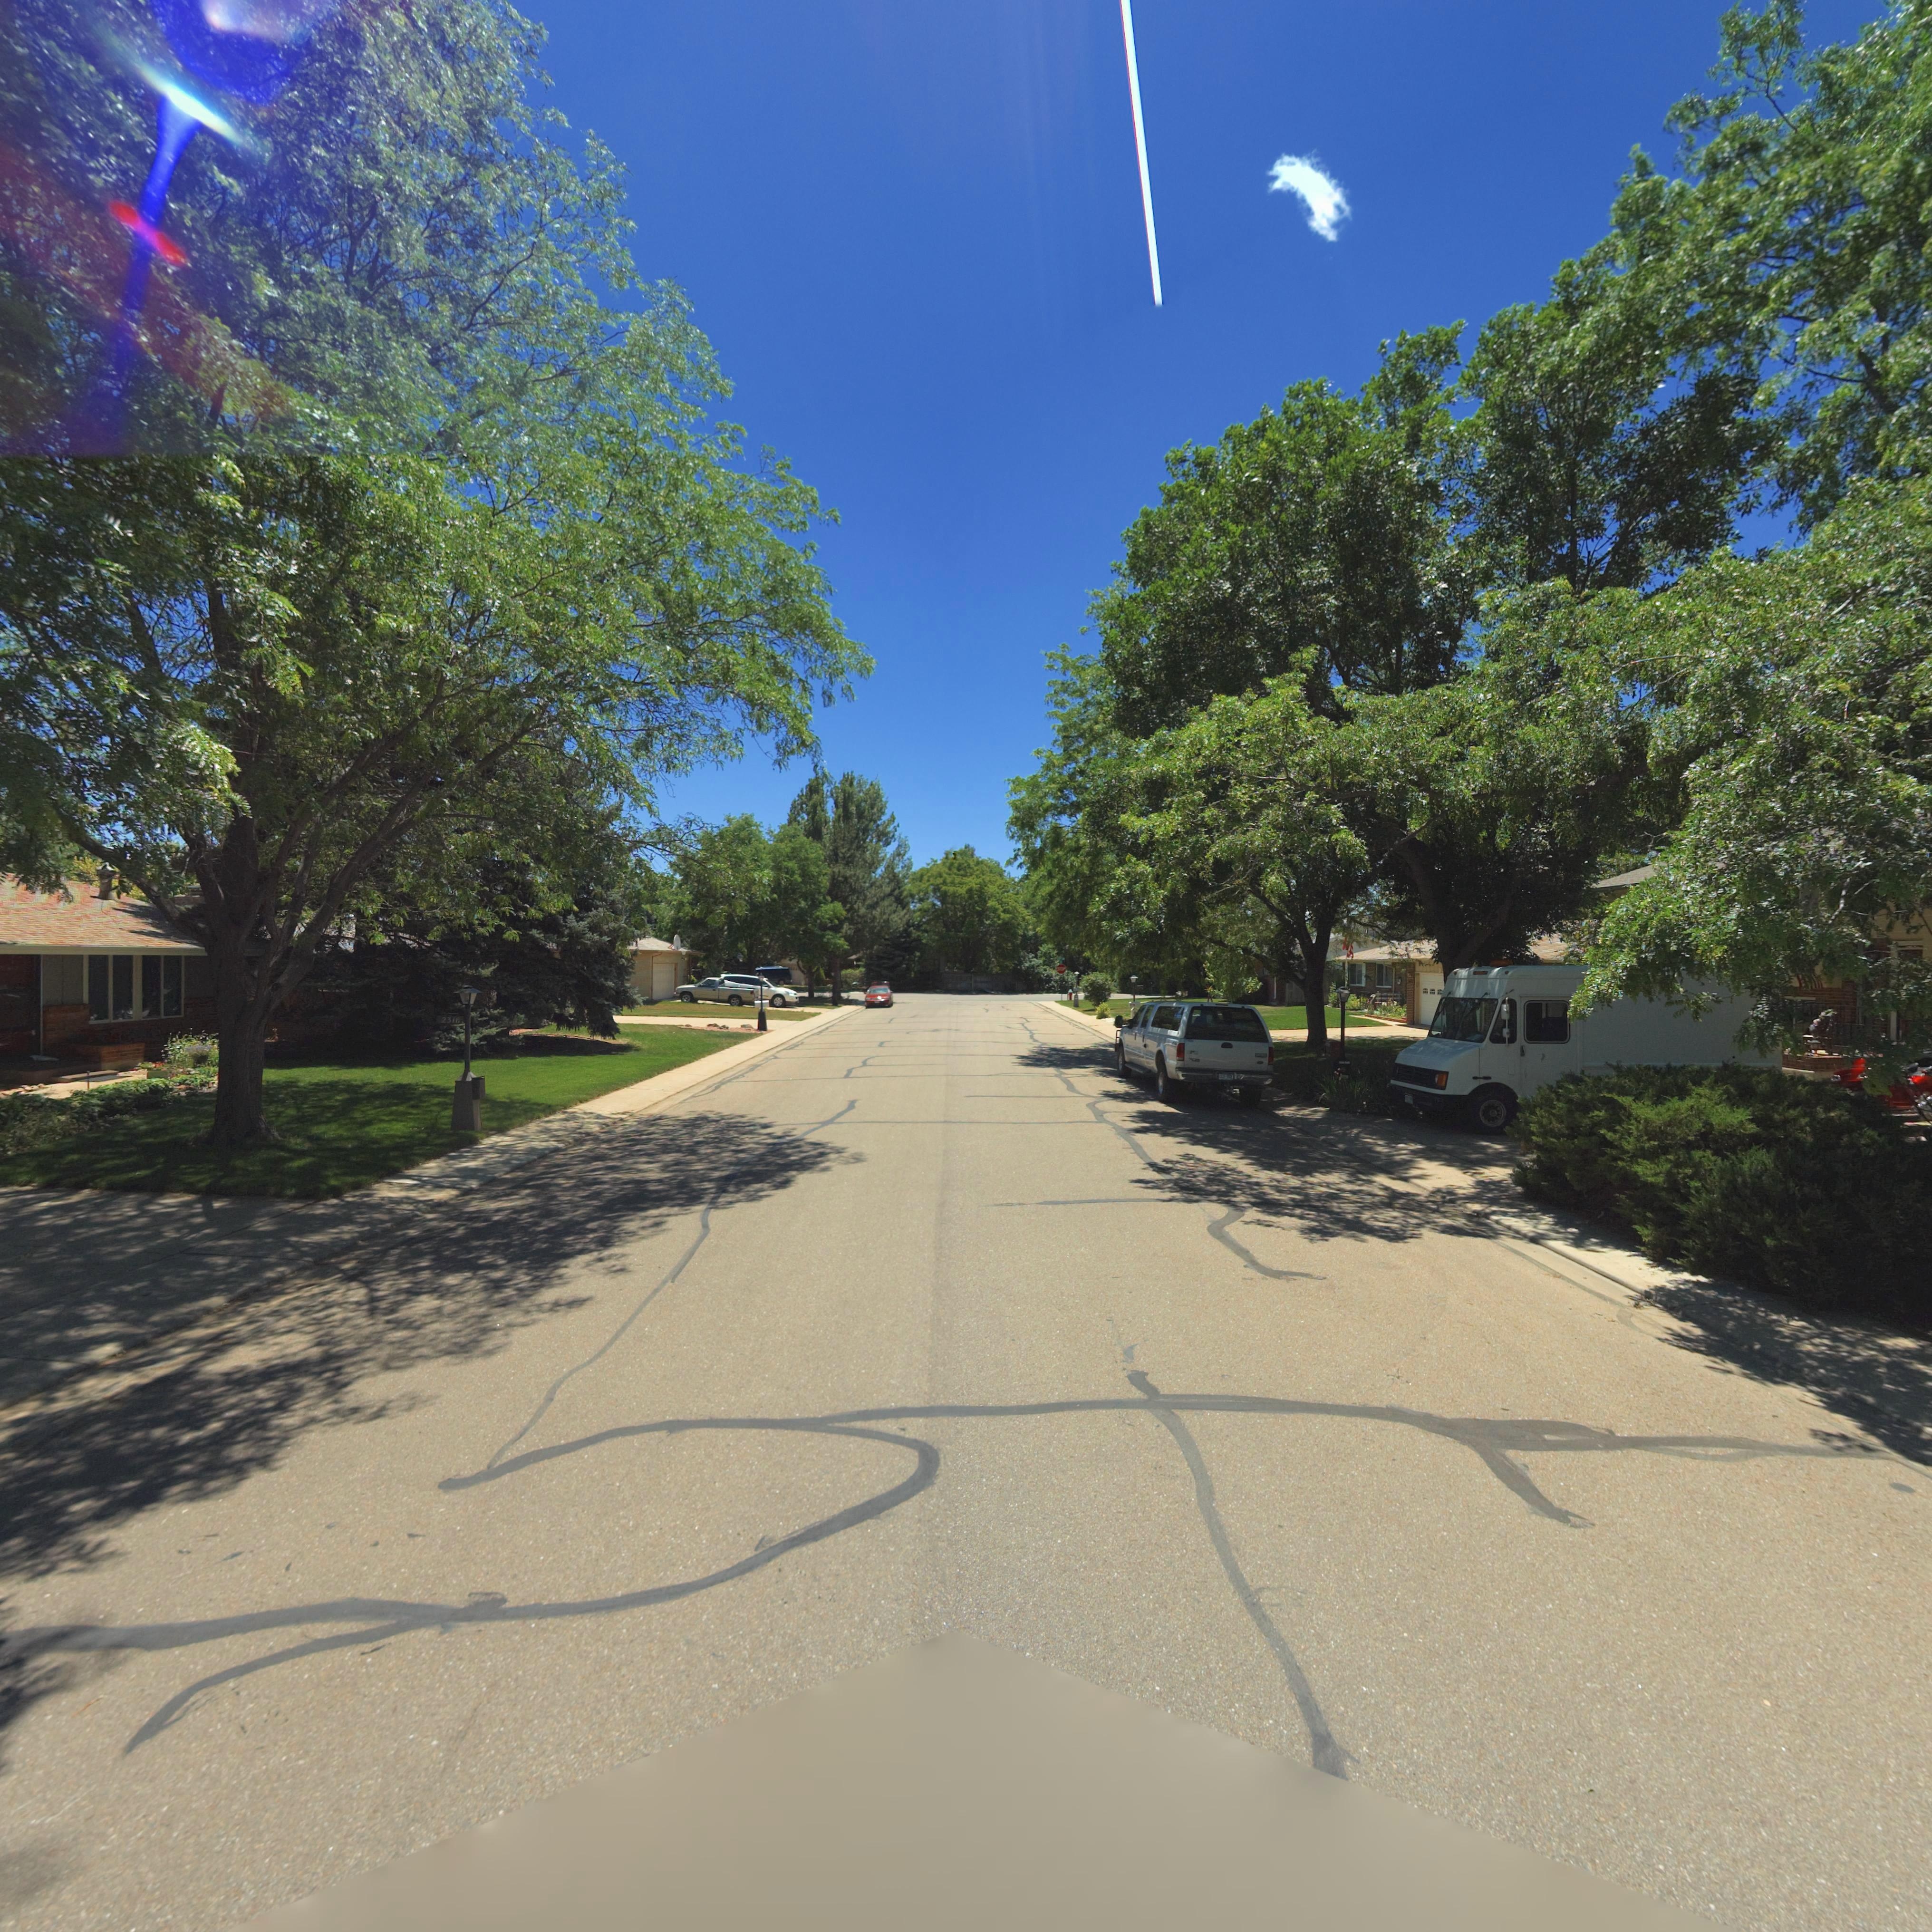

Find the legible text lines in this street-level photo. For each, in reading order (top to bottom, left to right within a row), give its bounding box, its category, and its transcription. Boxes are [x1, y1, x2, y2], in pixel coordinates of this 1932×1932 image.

[440, 1015, 461, 1024] StreetNumber: 2316